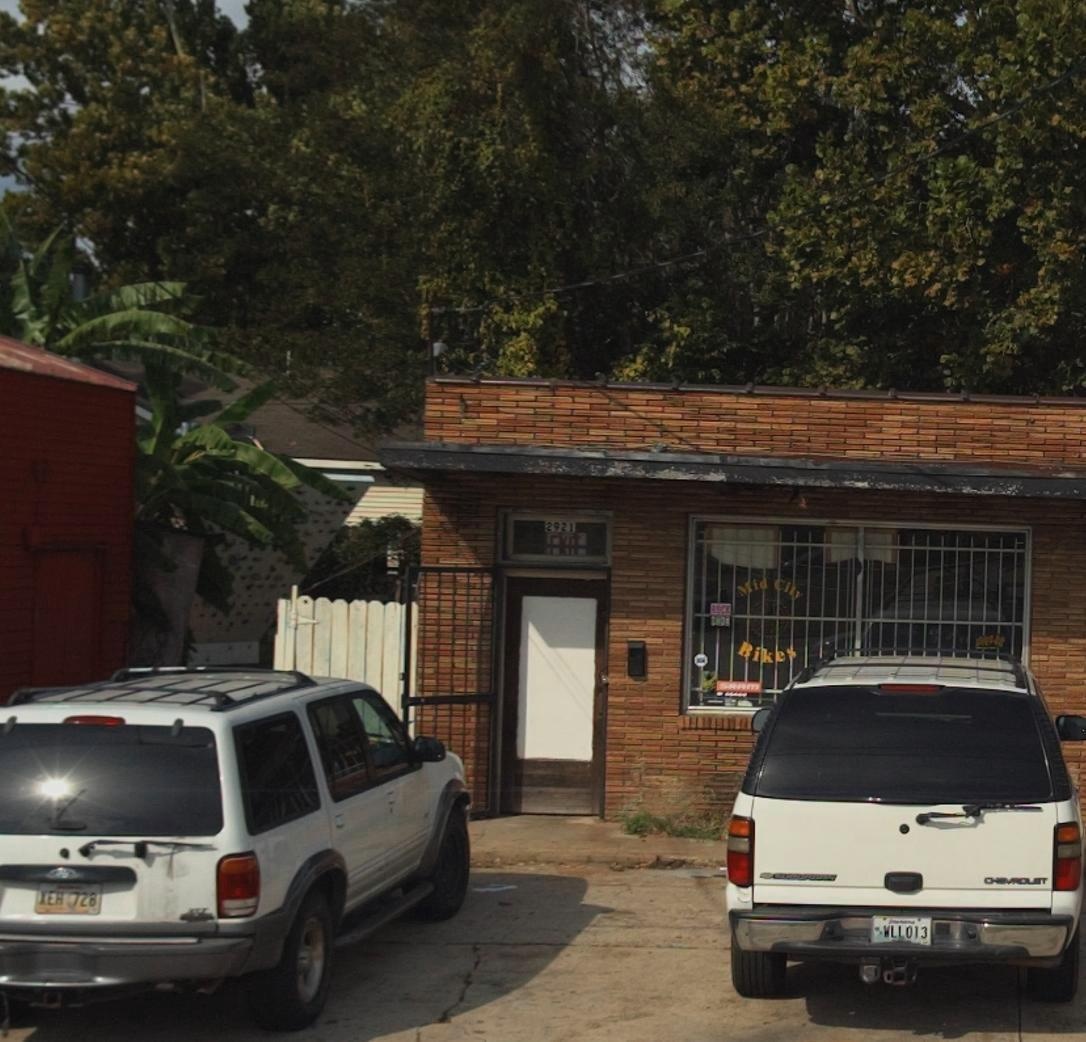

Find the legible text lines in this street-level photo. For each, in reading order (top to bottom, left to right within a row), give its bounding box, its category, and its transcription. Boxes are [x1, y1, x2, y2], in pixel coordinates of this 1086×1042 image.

[544, 521, 575, 533] StreetNumber: 2921
[733, 576, 807, 602] BusinessName: Mid City
[732, 638, 802, 669] BusinessName: Bikes
[982, 873, 1049, 888] None: CHEVROLET
[34, 887, 102, 910] None: XEH 728
[878, 921, 931, 942] None: WLL013